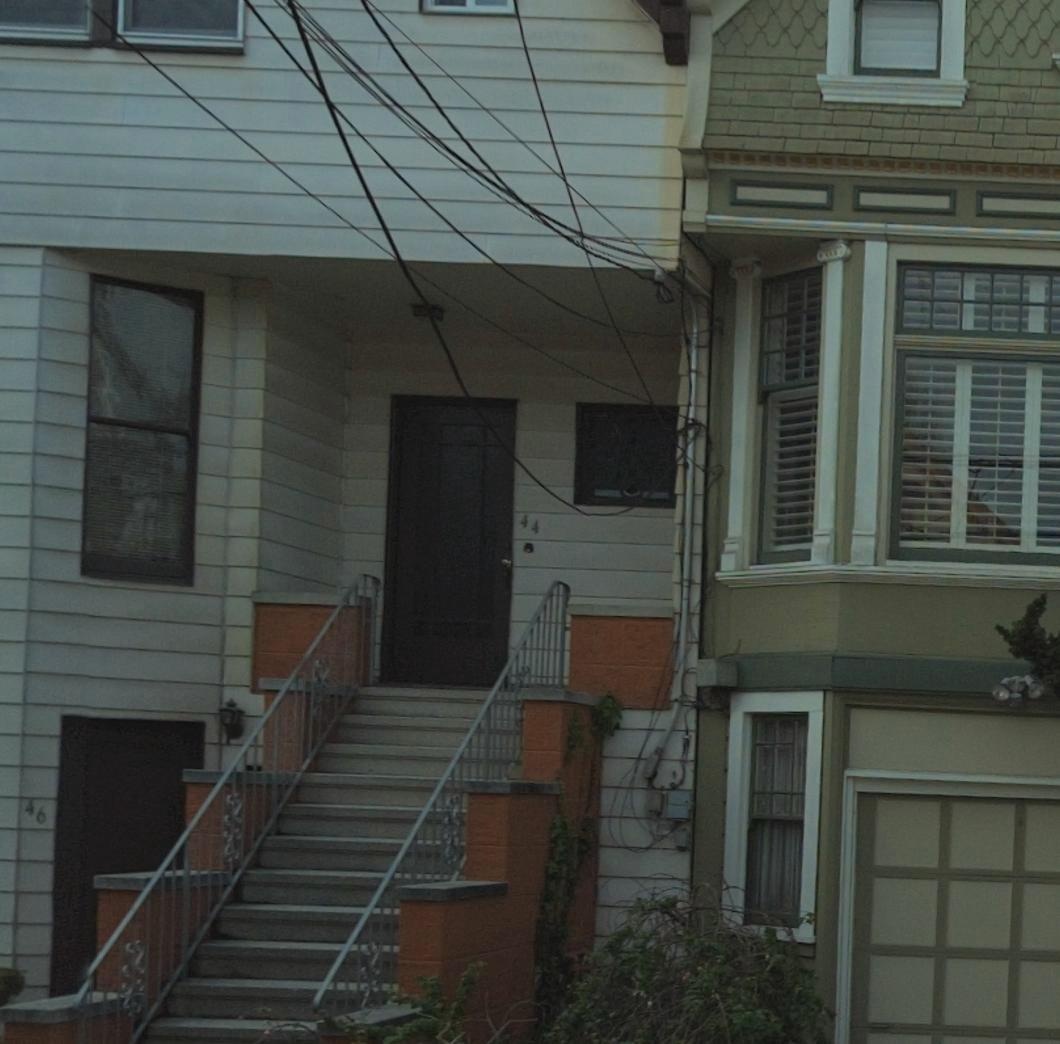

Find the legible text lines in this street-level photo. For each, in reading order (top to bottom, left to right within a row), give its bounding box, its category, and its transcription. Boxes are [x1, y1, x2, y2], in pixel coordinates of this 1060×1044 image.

[520, 515, 540, 534] StreetNumber: 44